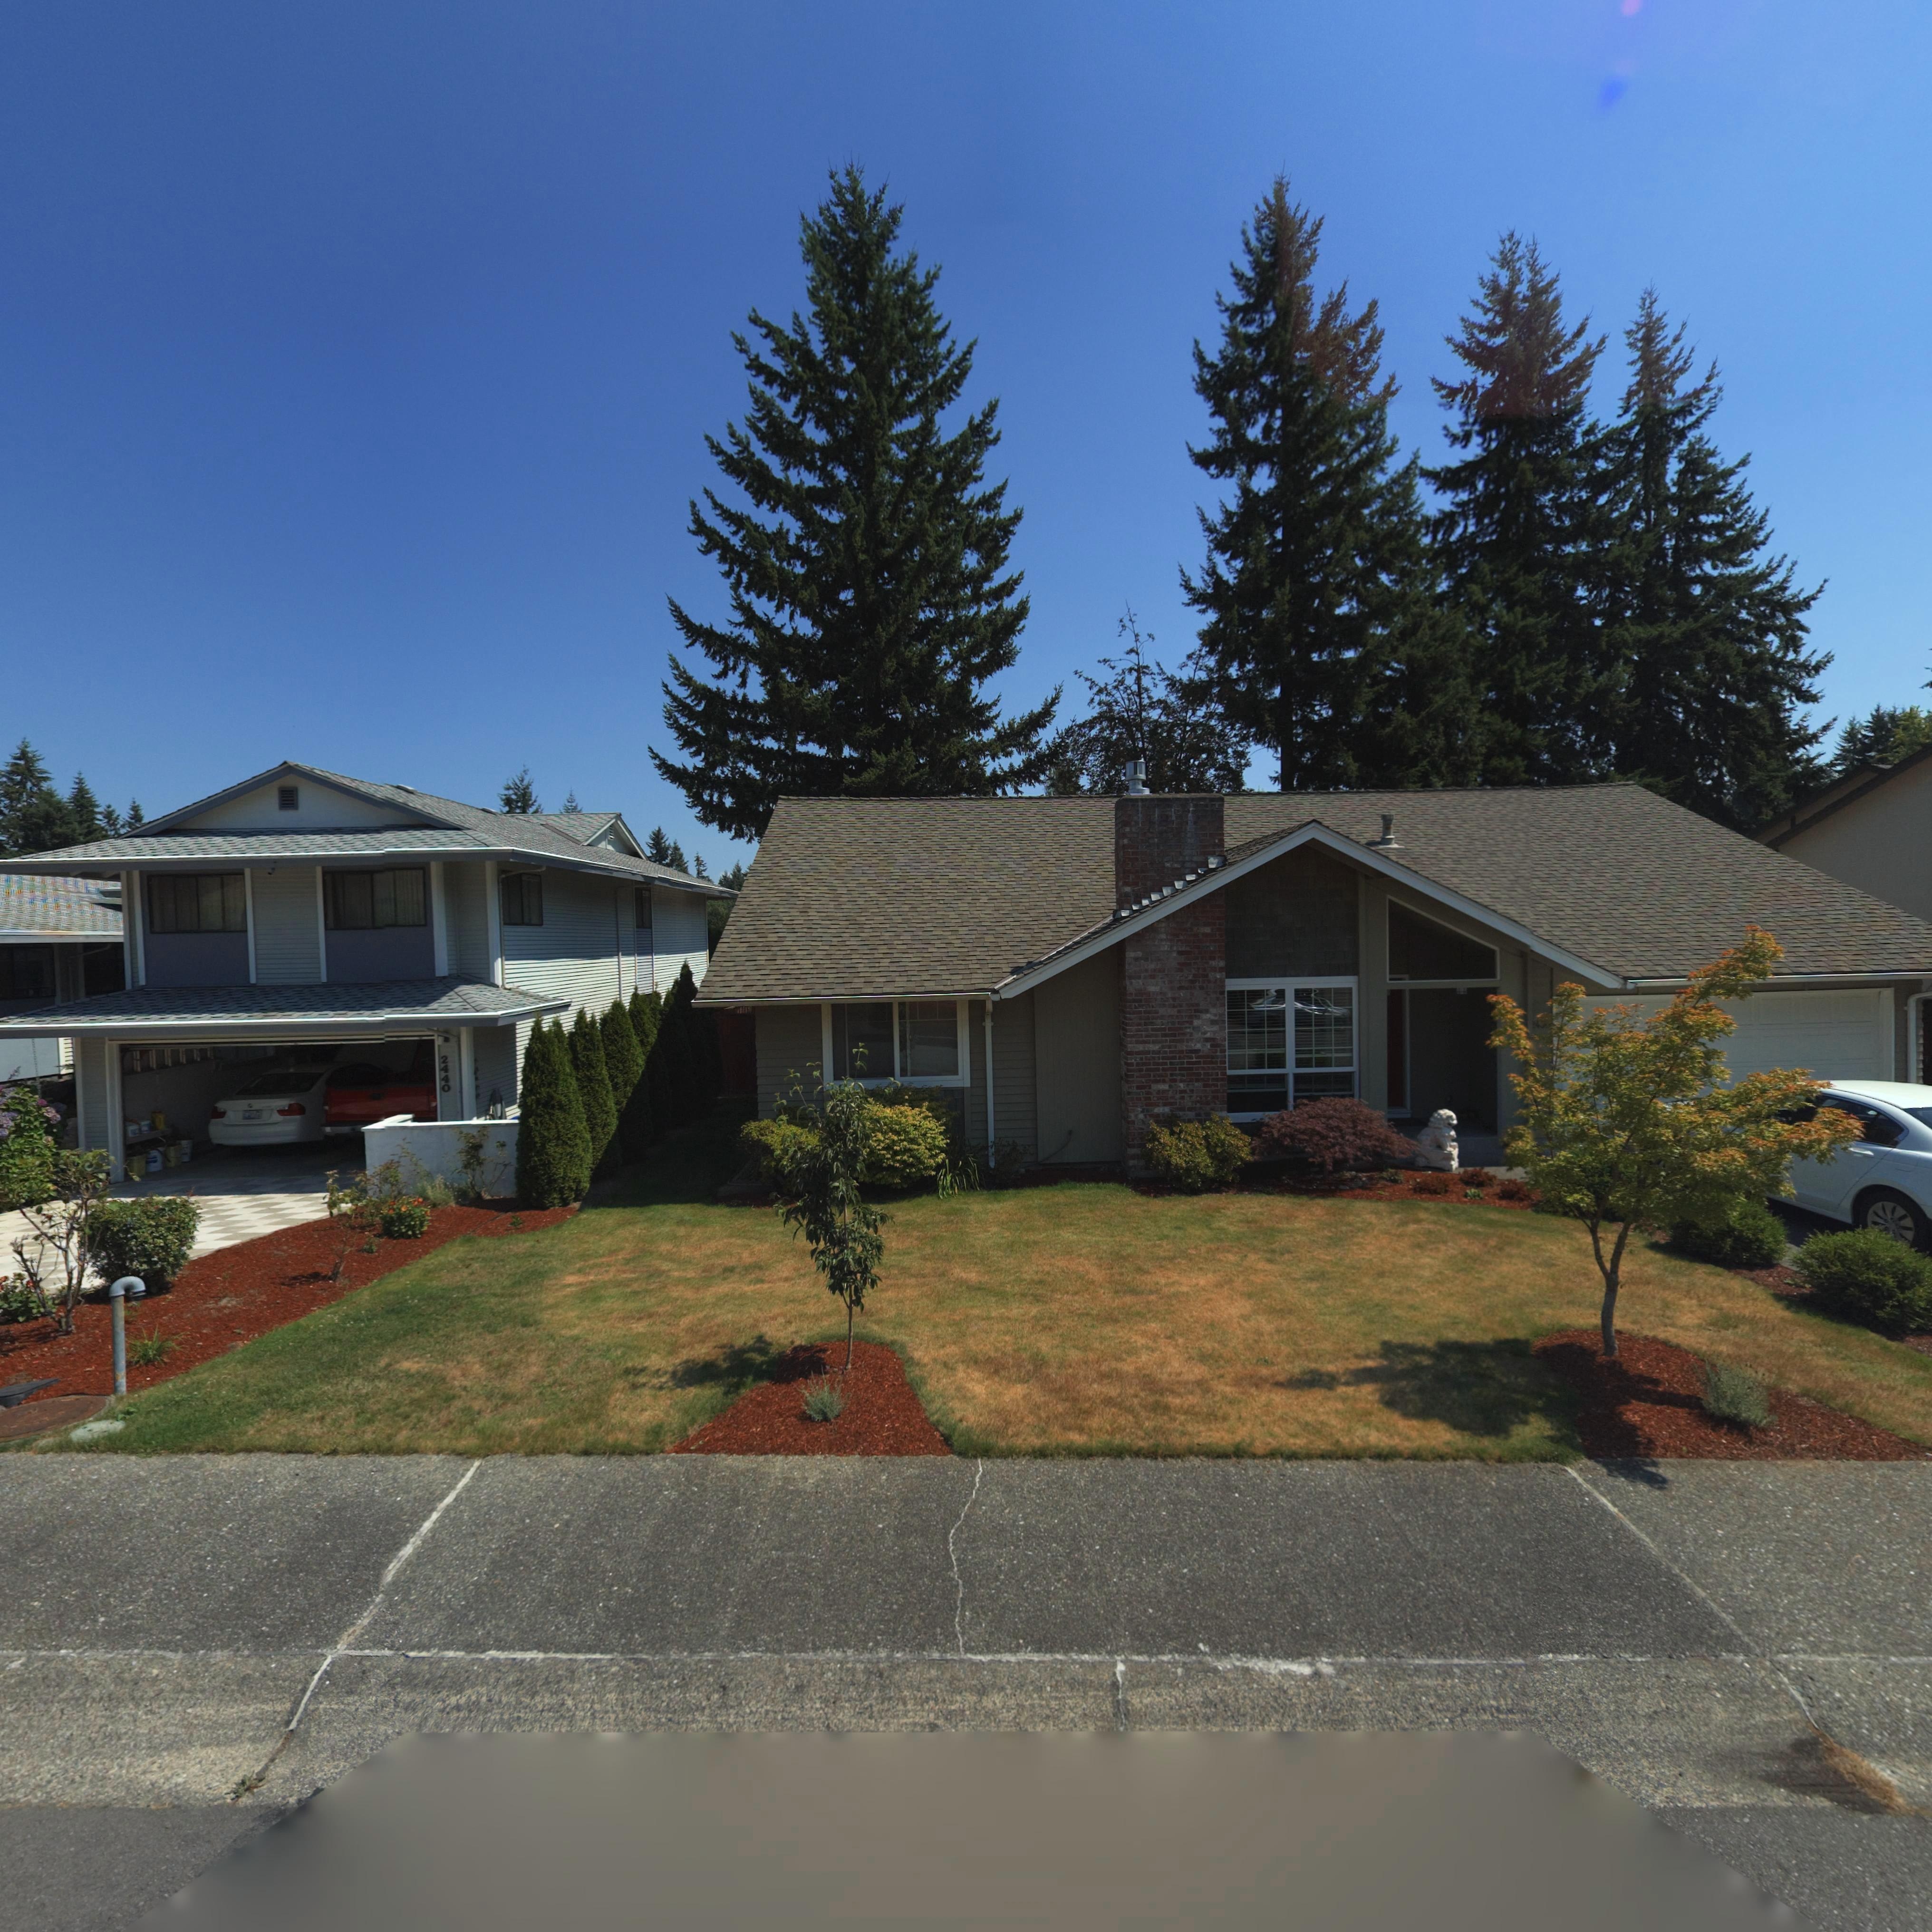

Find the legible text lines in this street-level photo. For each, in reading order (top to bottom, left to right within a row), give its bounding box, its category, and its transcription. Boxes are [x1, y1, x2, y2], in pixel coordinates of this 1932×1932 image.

[439, 1055, 451, 1092] StreetNumber: 2440